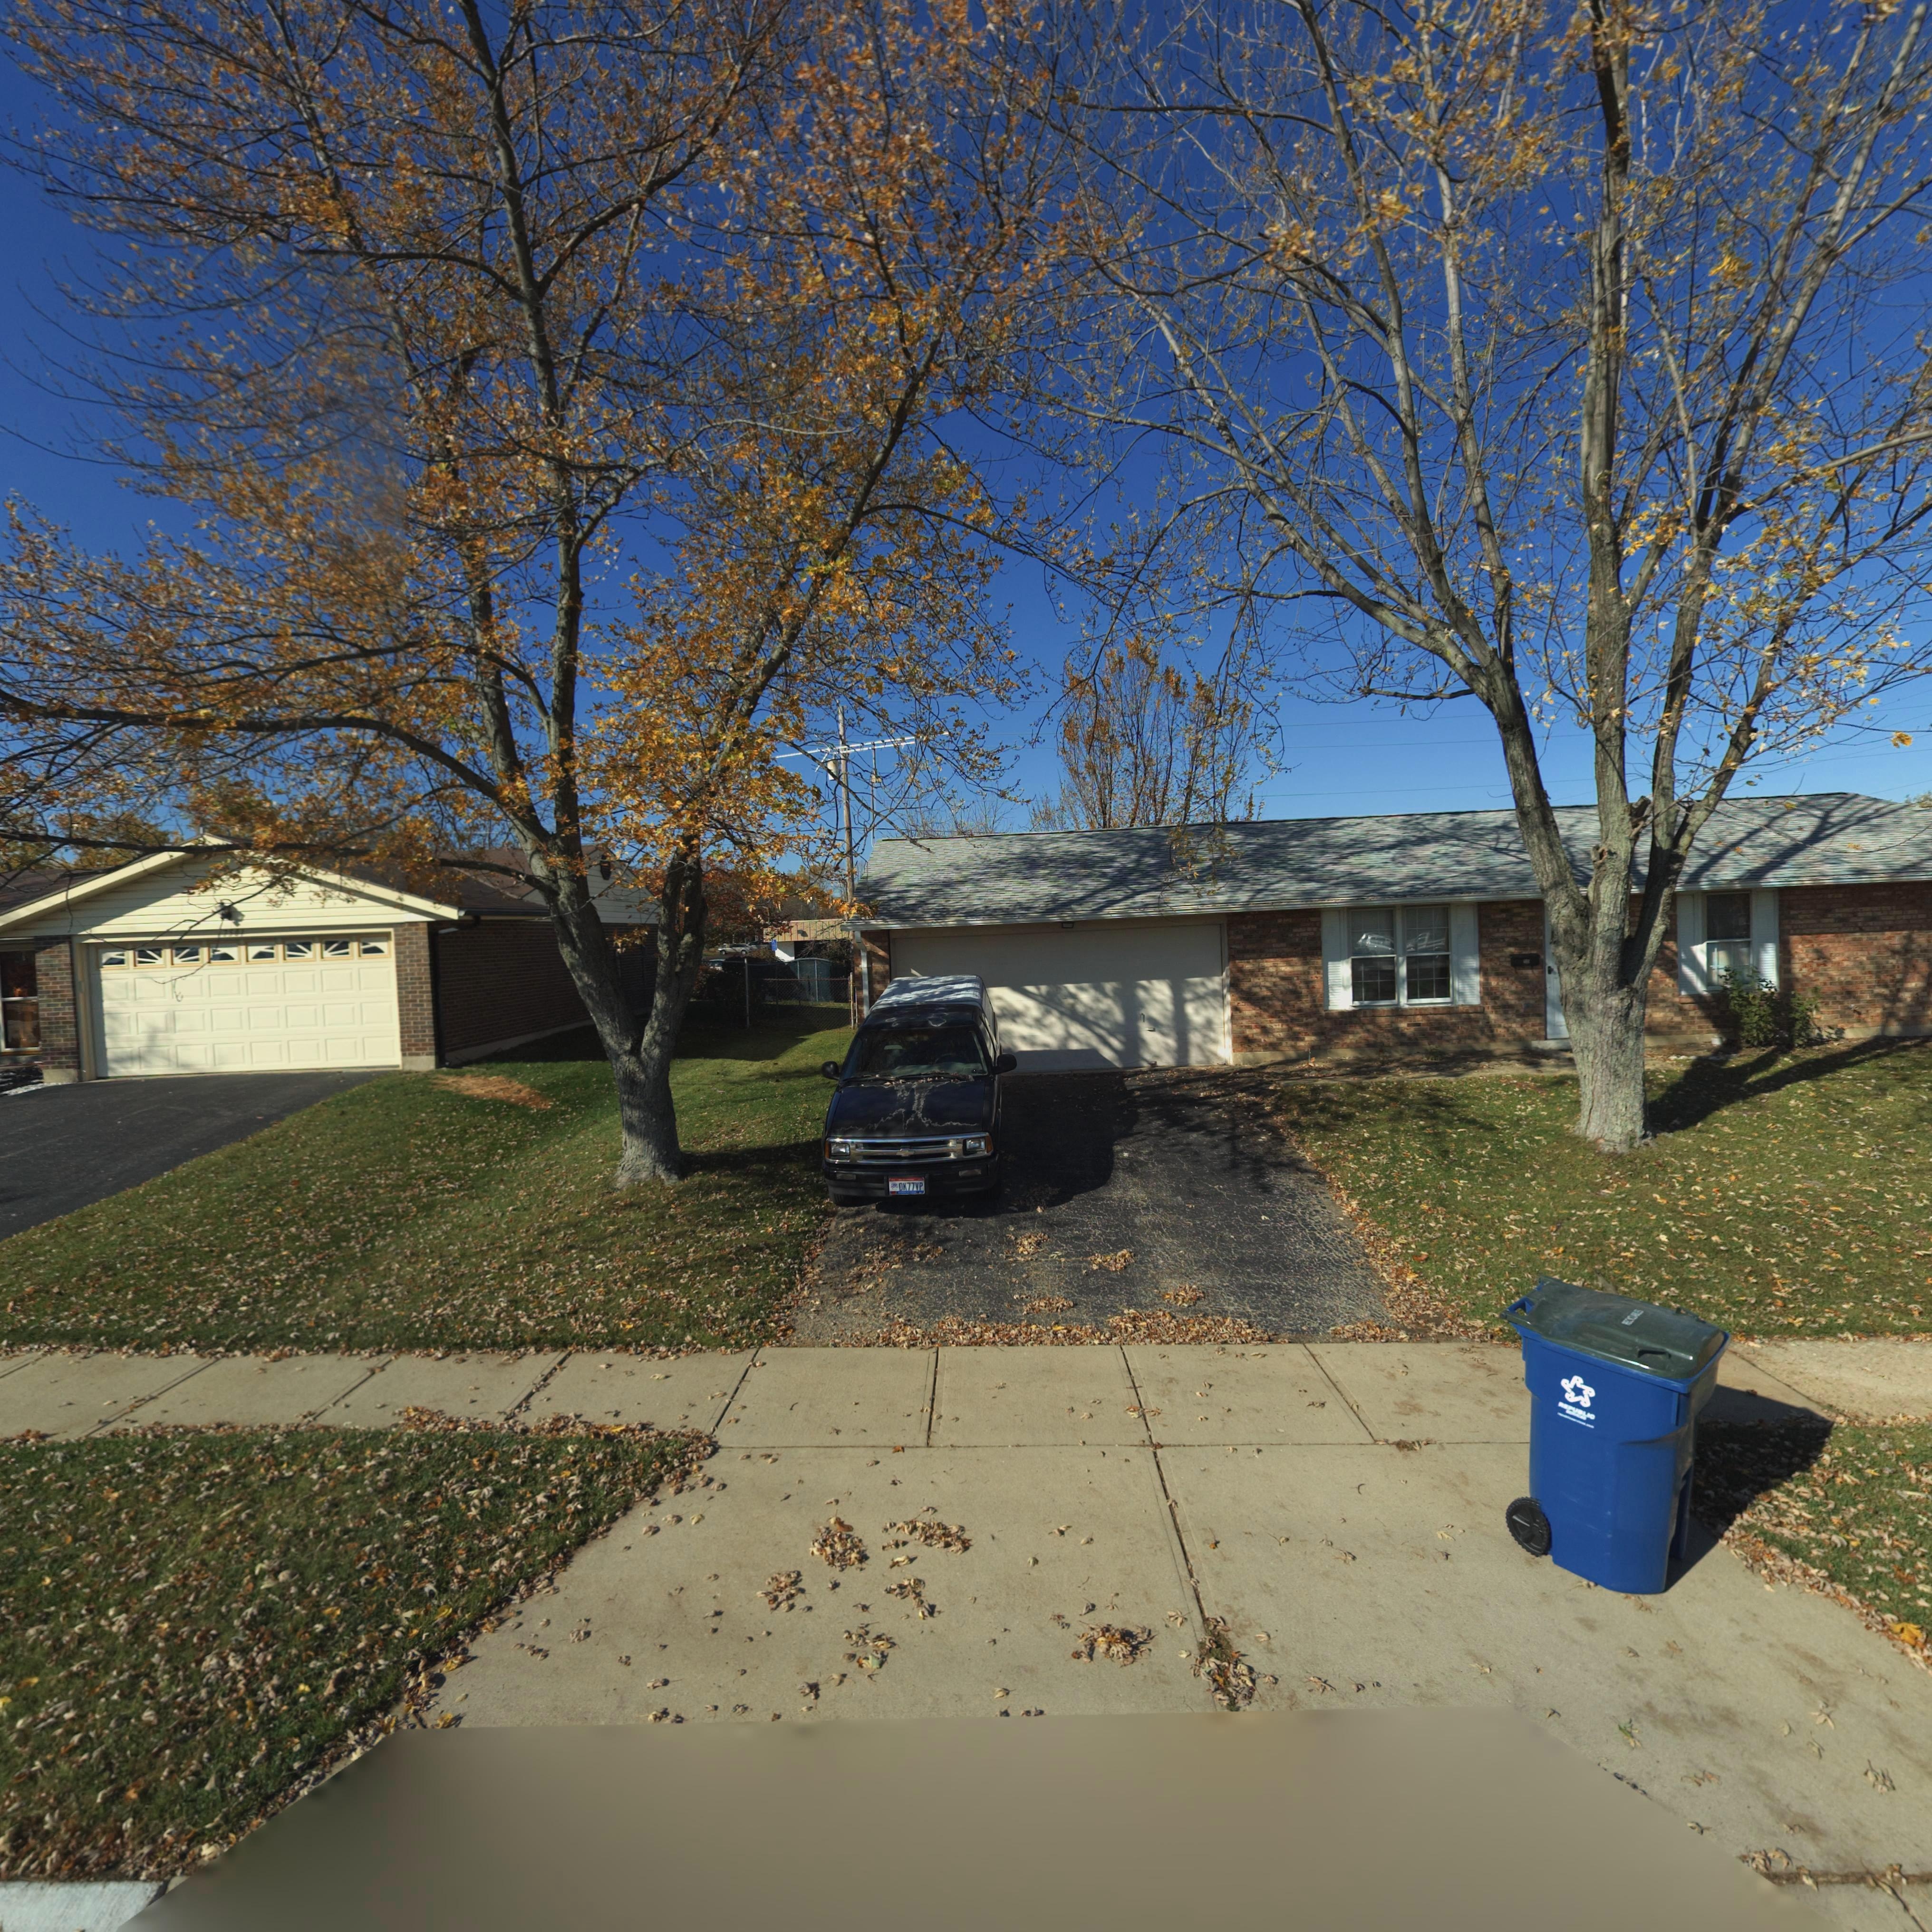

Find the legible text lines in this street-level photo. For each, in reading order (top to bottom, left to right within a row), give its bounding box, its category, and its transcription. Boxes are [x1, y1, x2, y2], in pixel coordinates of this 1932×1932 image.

[222, 928, 246, 938] StreetNumber: 7501